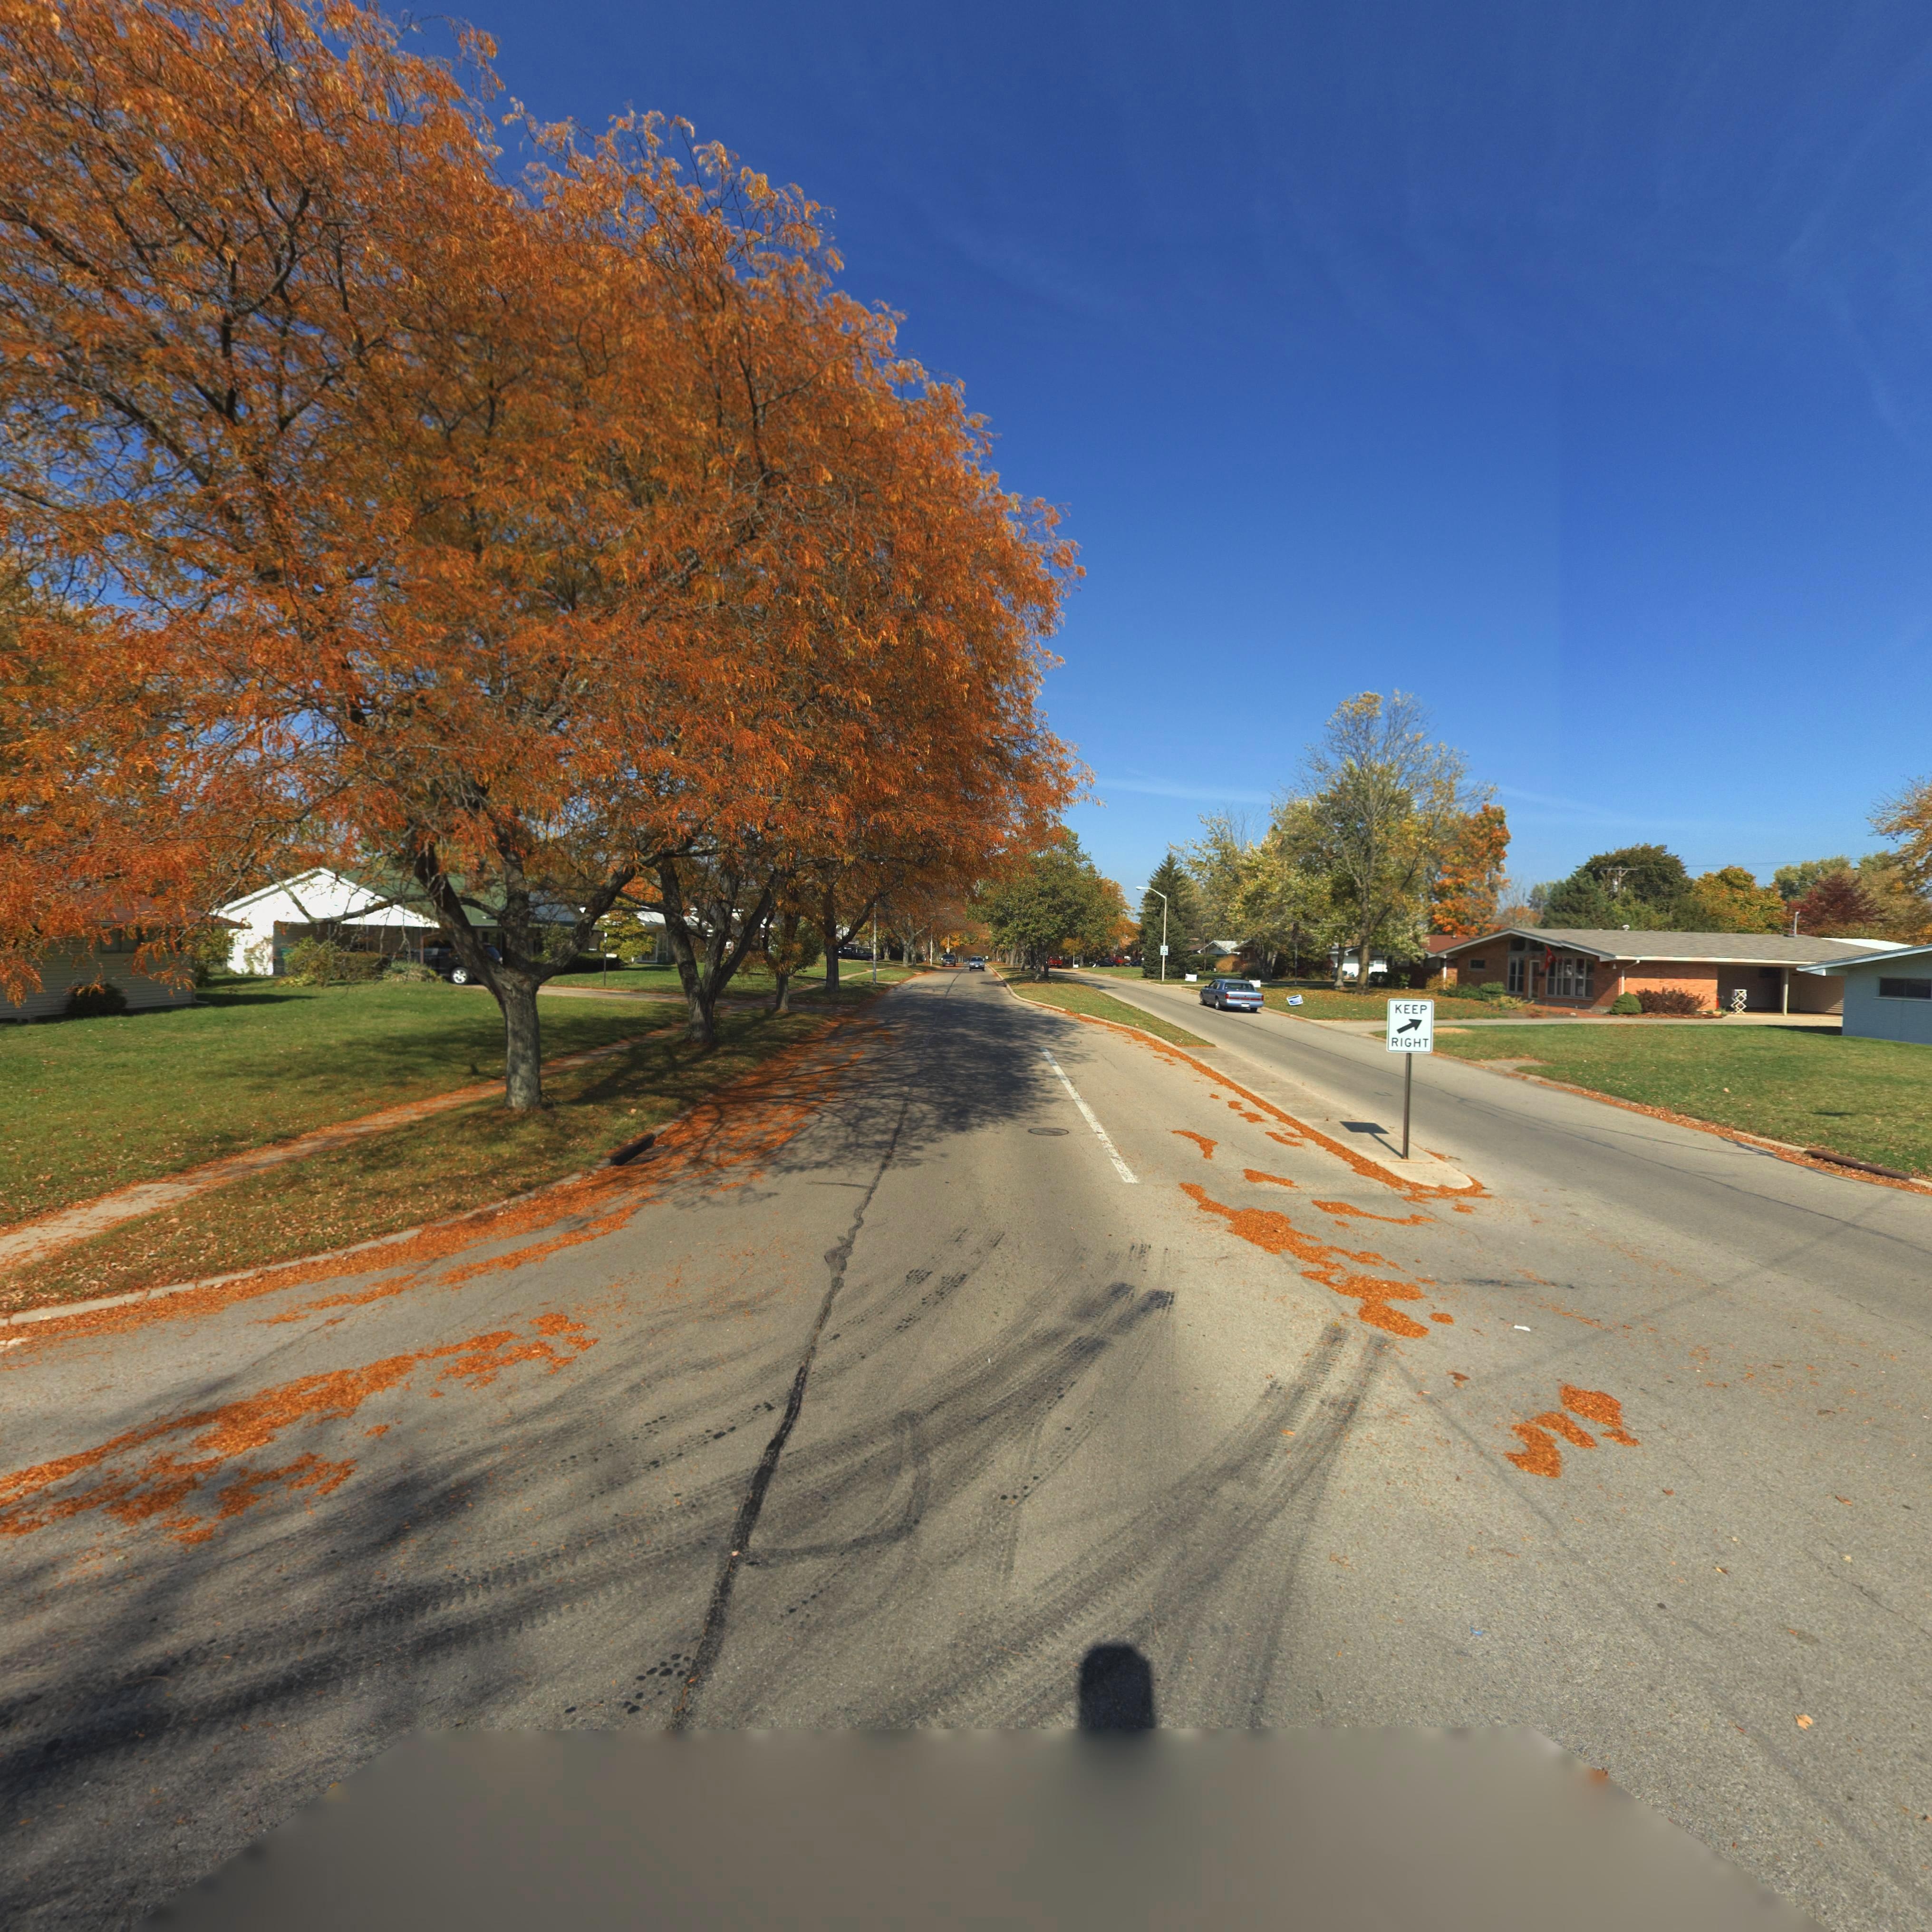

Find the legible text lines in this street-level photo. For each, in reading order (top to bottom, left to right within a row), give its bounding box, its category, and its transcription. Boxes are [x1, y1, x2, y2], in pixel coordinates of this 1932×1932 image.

[1393, 1003, 1429, 1016] None: KEEP
[1390, 1035, 1431, 1050] None: RIGHT